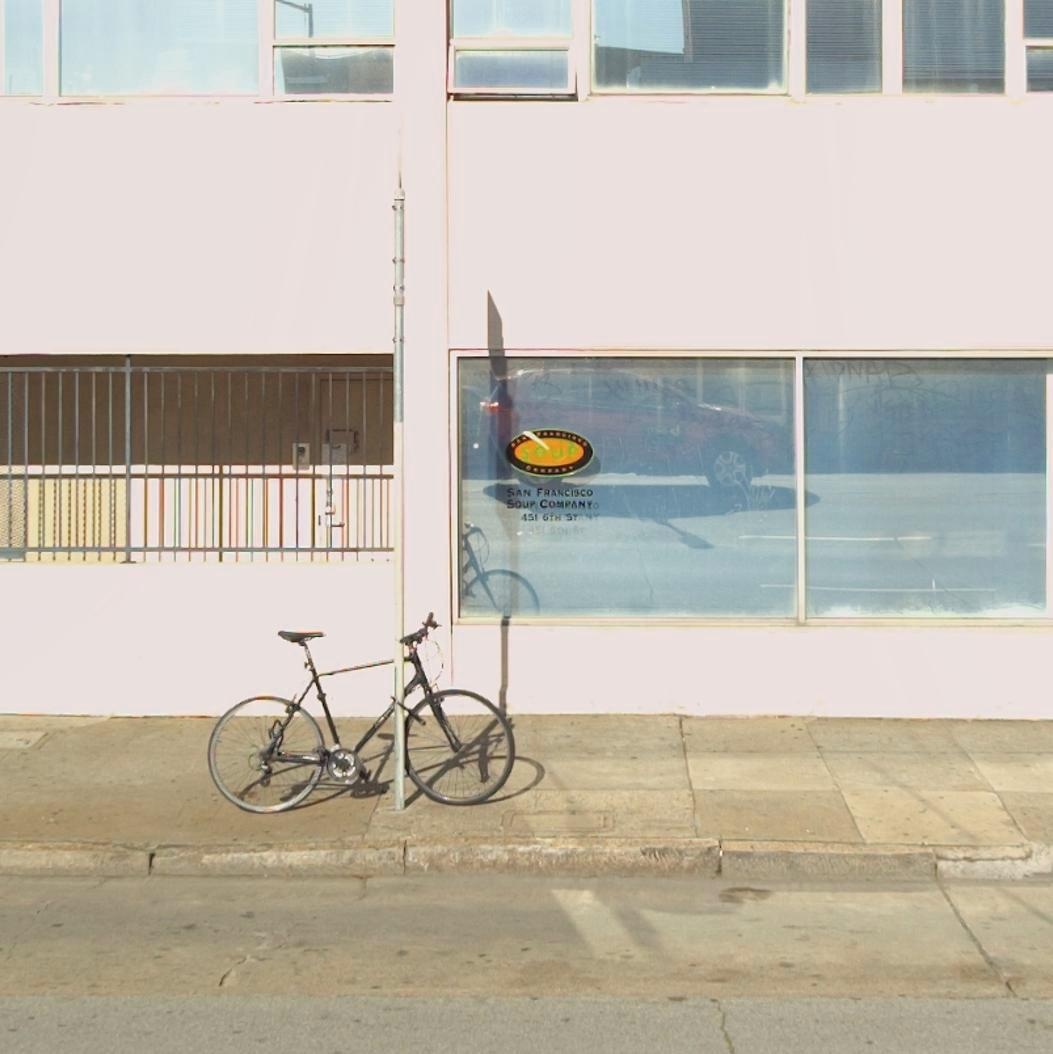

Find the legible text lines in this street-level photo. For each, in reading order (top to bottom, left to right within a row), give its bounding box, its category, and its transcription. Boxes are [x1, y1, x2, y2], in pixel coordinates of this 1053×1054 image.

[520, 443, 579, 460] BusinessName: SOUP
[506, 487, 594, 498] BusinessName: SAN FRANCISCO
[505, 498, 594, 510] BusinessName: SOUP COMPANY
[520, 513, 539, 523] StreetNumber: 451
[541, 513, 579, 522] StreetName: 6TH ST